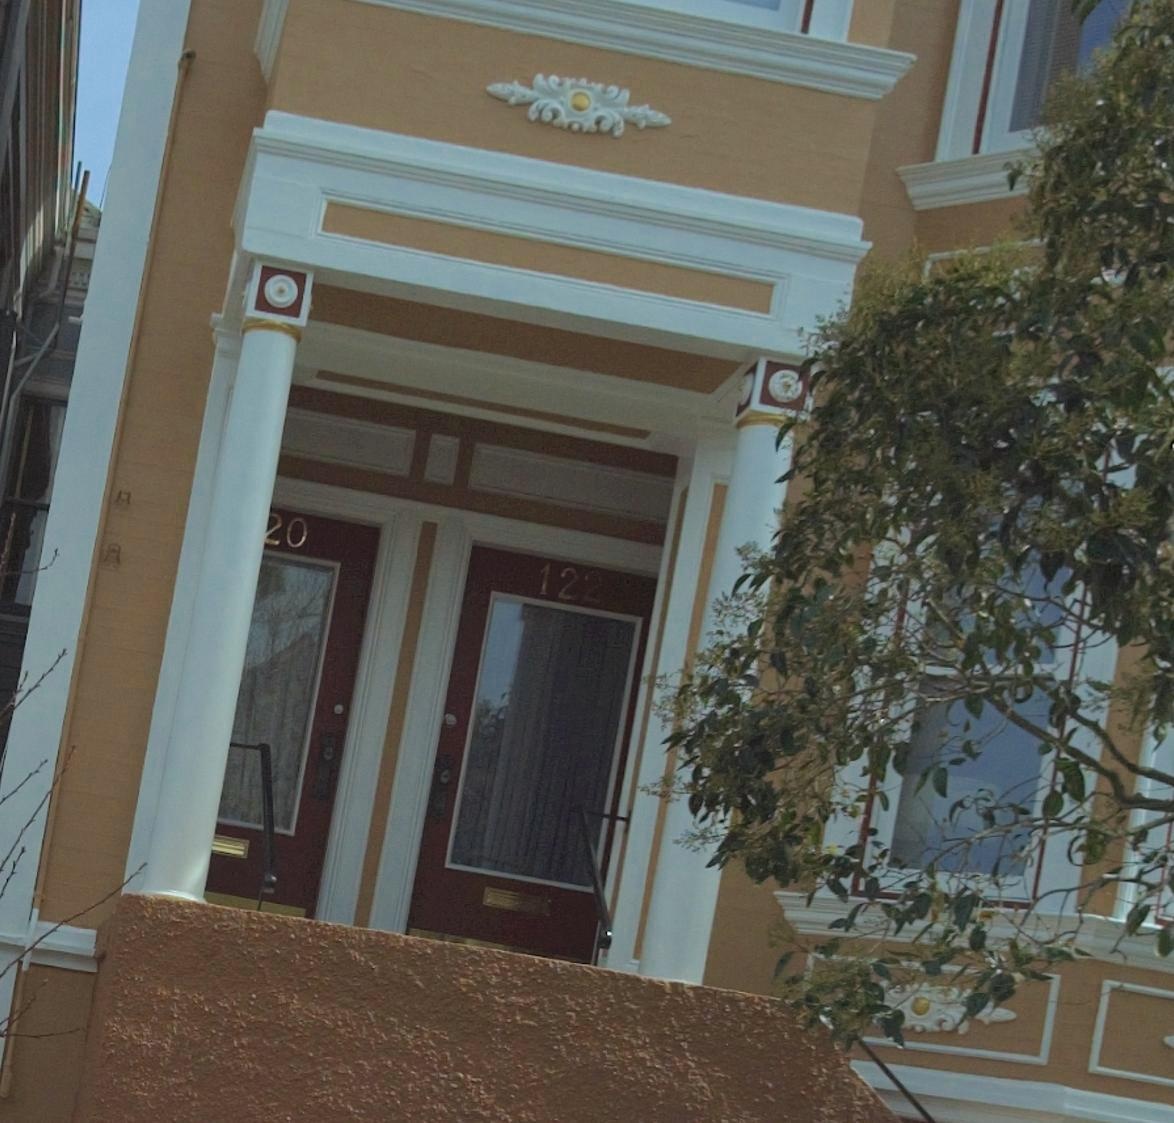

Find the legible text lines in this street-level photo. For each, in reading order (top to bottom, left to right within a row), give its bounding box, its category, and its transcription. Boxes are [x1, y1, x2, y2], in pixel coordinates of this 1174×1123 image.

[285, 514, 311, 550] StreetNumber: 0
[535, 560, 607, 608] StreetNumber: 122